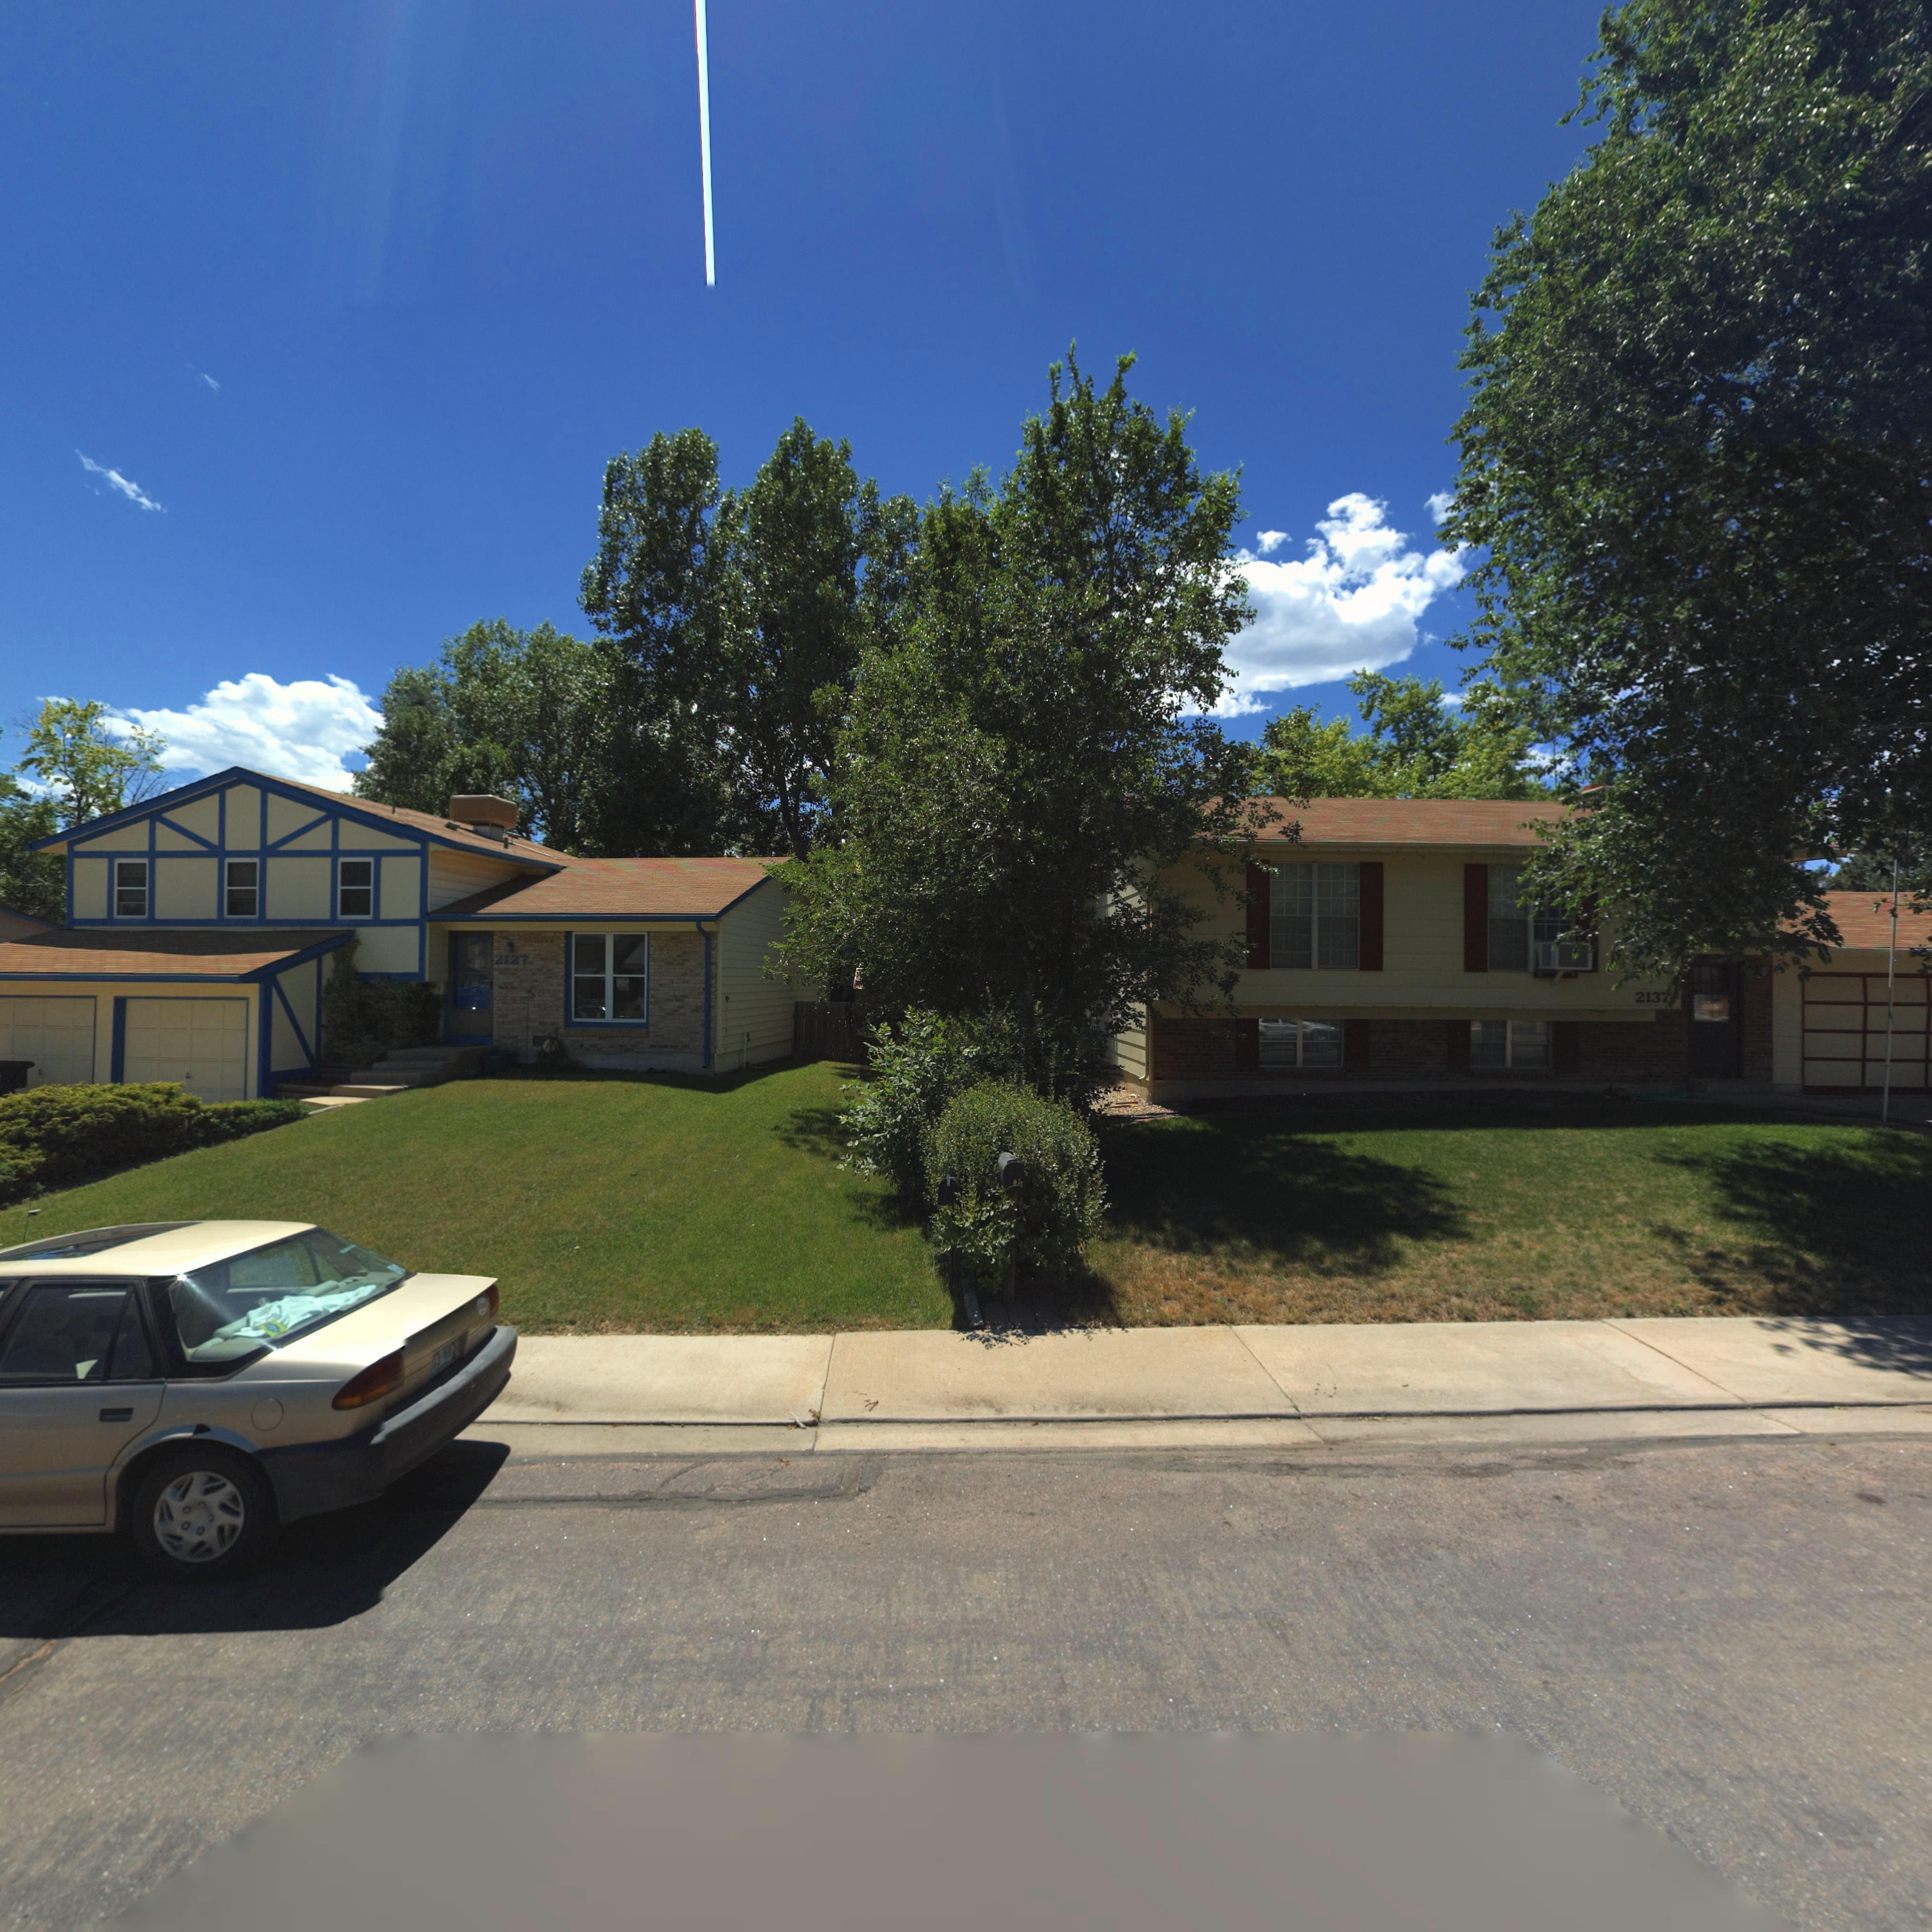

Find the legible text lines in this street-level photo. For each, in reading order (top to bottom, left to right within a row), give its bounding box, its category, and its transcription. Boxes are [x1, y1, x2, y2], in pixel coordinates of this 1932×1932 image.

[494, 953, 529, 966] StreetNumber: 2127
[1635, 991, 1671, 1003] StreetNumber: 2137